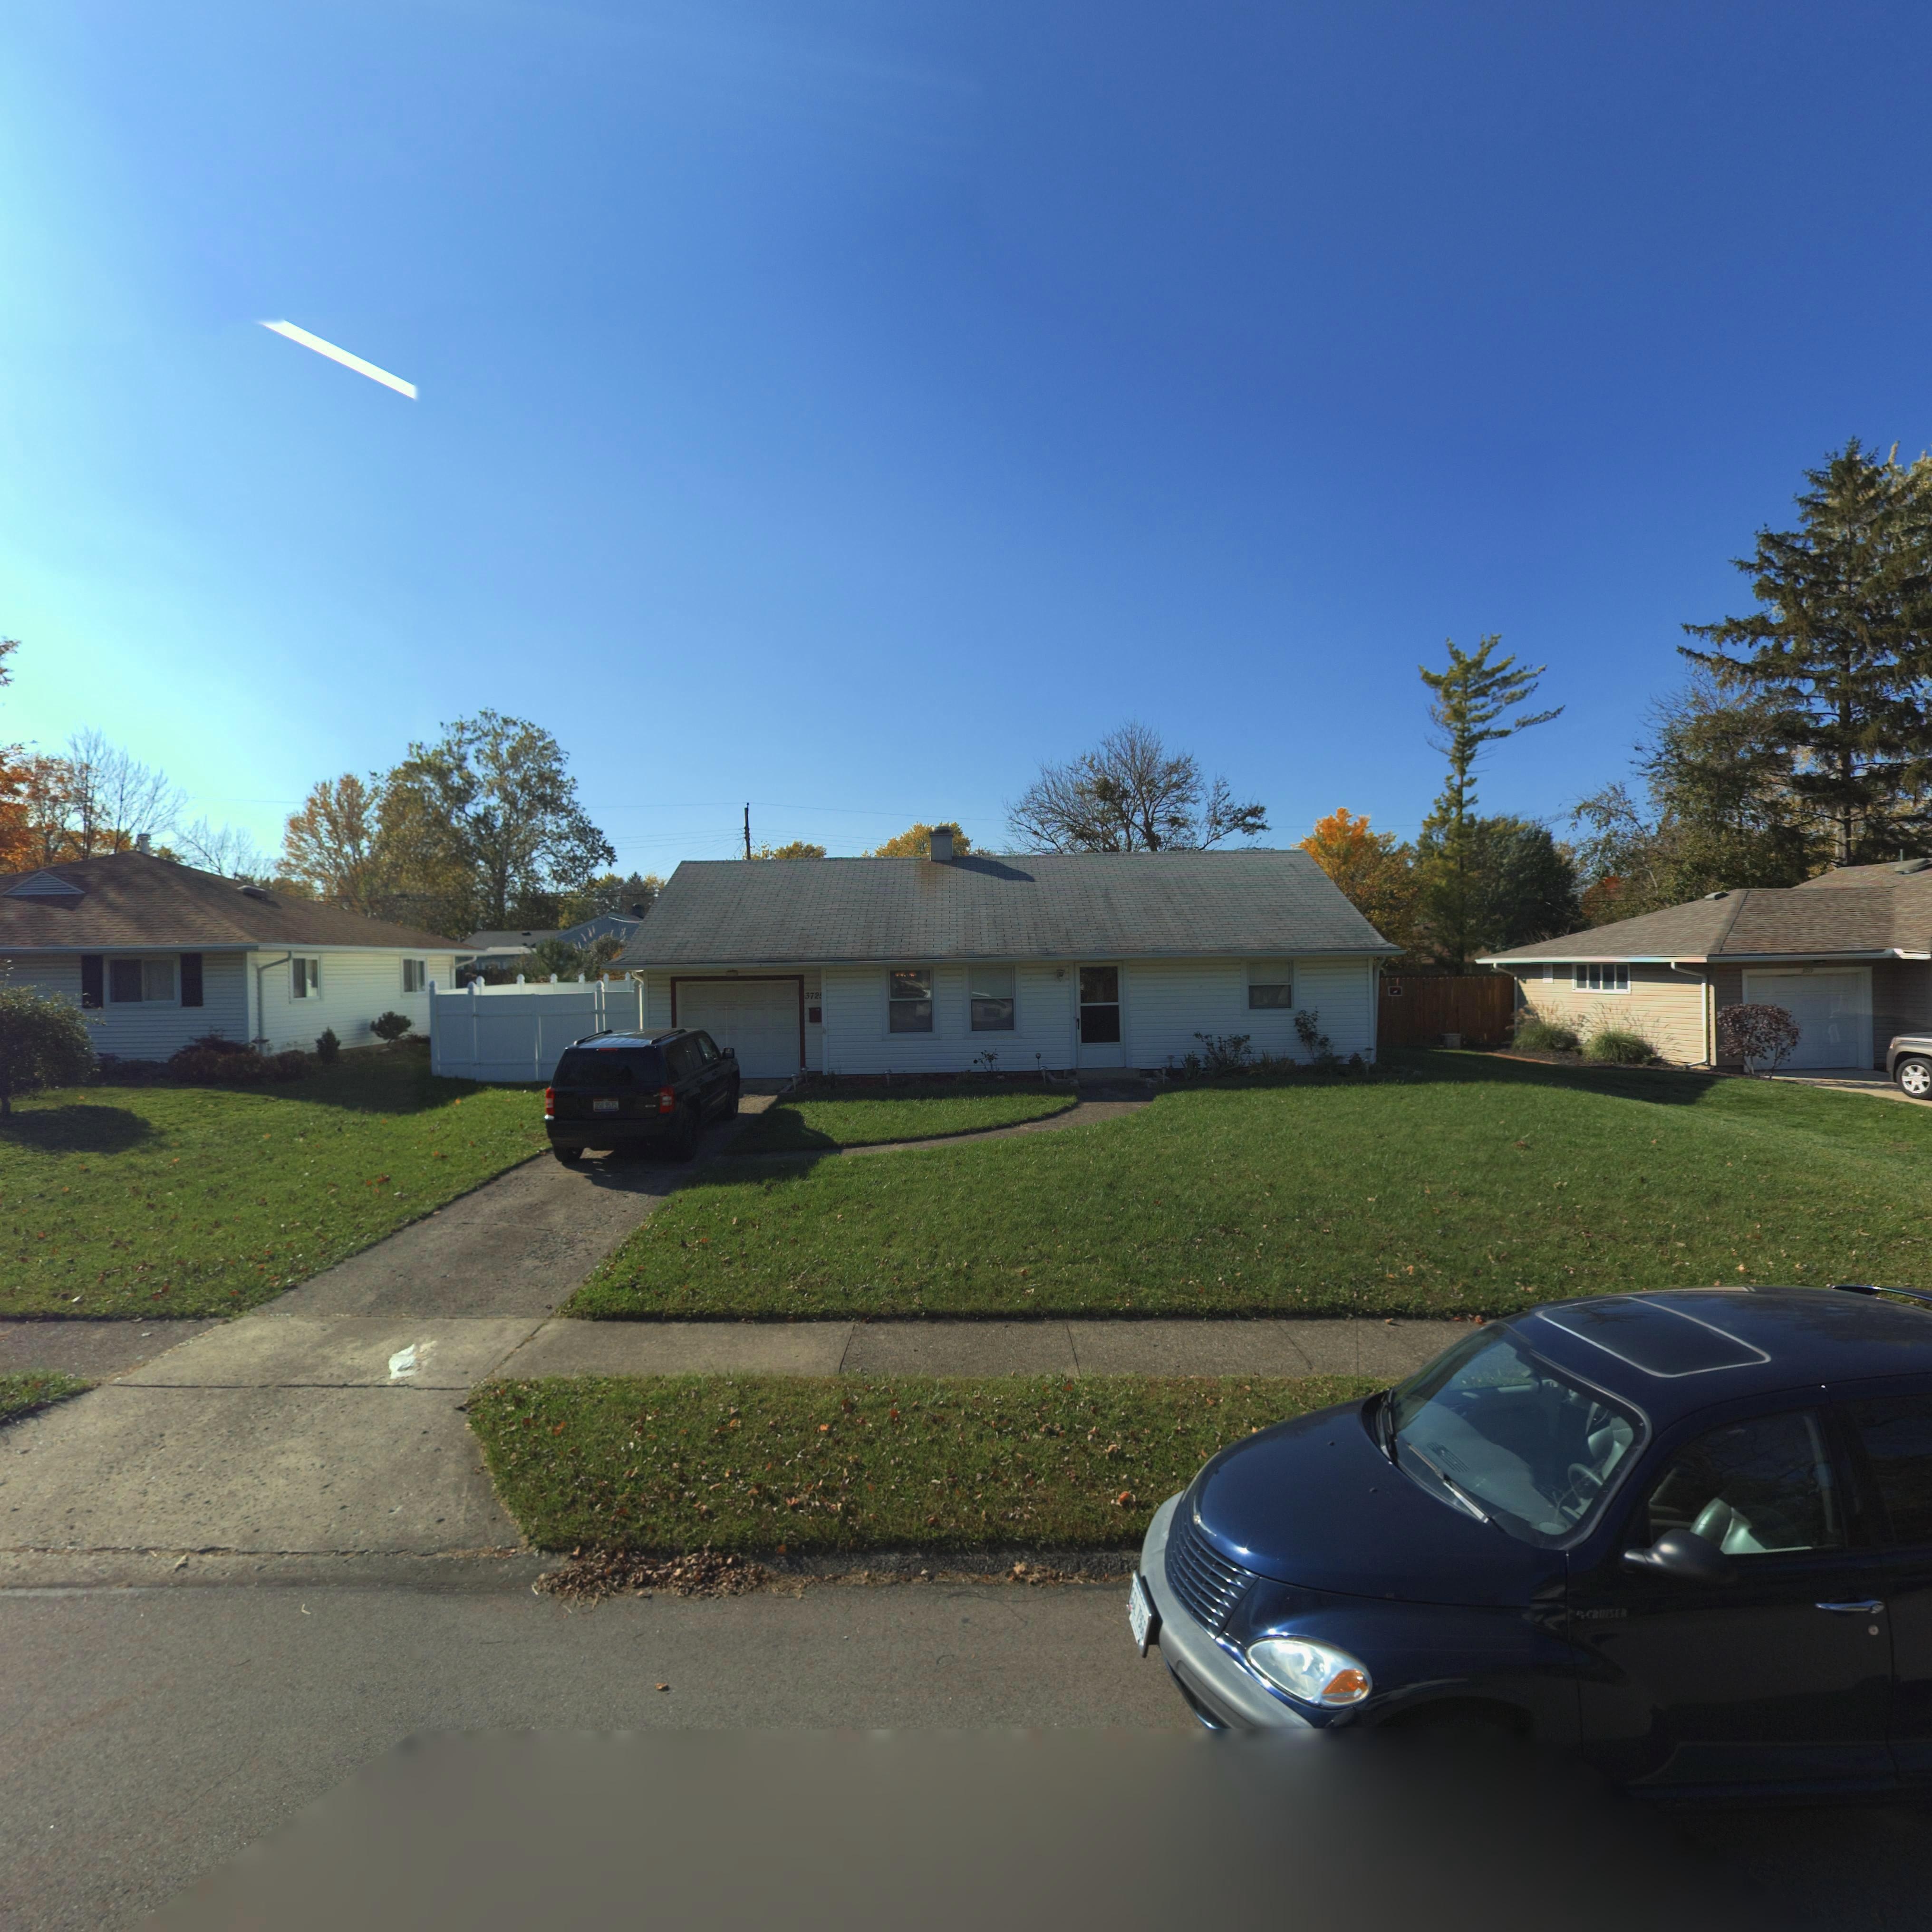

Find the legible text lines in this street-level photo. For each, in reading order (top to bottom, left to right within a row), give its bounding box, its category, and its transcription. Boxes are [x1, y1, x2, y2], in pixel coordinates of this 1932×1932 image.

[1800, 968, 1815, 974] StreetNumber: 37*9
[804, 992, 822, 1000] StreetNumber: 372*
[594, 1101, 617, 1109] None: OSU*9575
[1129, 1585, 1147, 1641] None: GGL*7*66
[1575, 1608, 1627, 1620] None: PT CRUISER